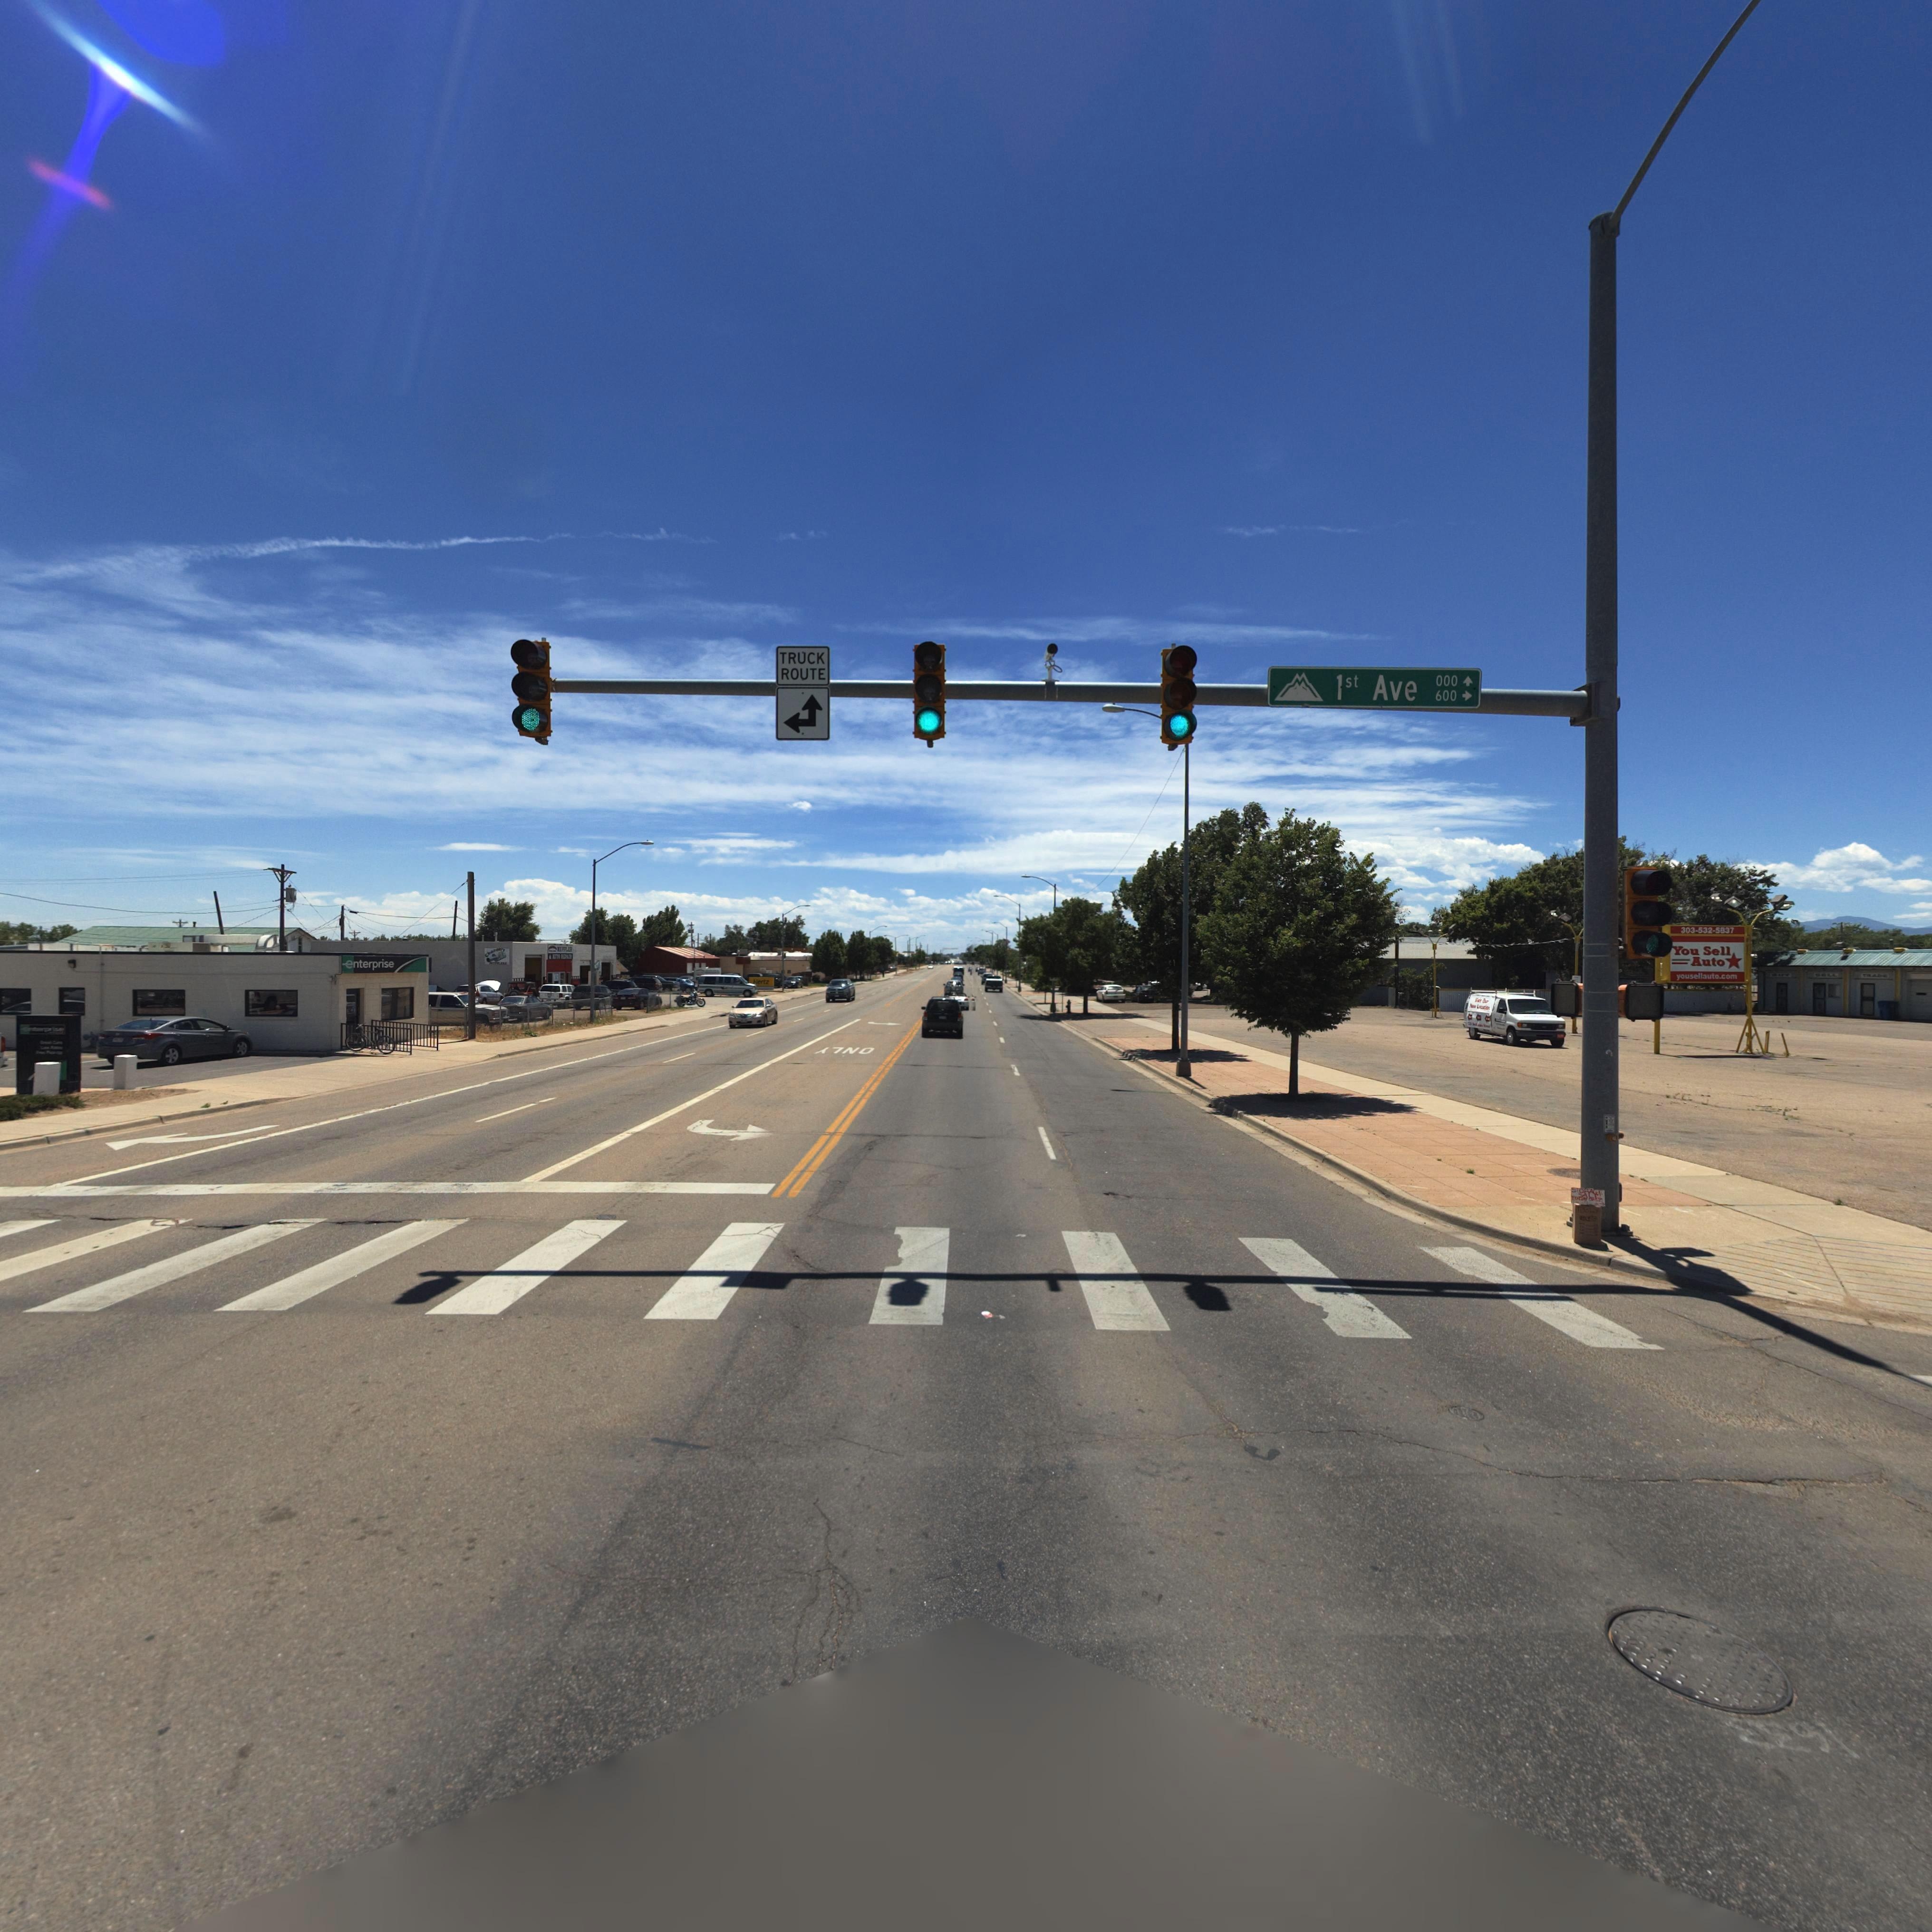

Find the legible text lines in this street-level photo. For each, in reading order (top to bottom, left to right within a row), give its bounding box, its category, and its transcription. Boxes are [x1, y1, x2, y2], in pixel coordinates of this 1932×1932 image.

[1434, 675, 1459, 688] StreetNumberRange: 000
[1333, 670, 1420, 704] StreetName: 1st Ave
[1433, 689, 1473, 703] StreetNumberRange: 600->
[1671, 946, 1731, 956] BusinessName: You Sell
[343, 958, 396, 969] BusinessName: enterprise
[1689, 956, 1727, 966] BusinessName: Auto
[752, 978, 770, 985] BusinessName: Hertz